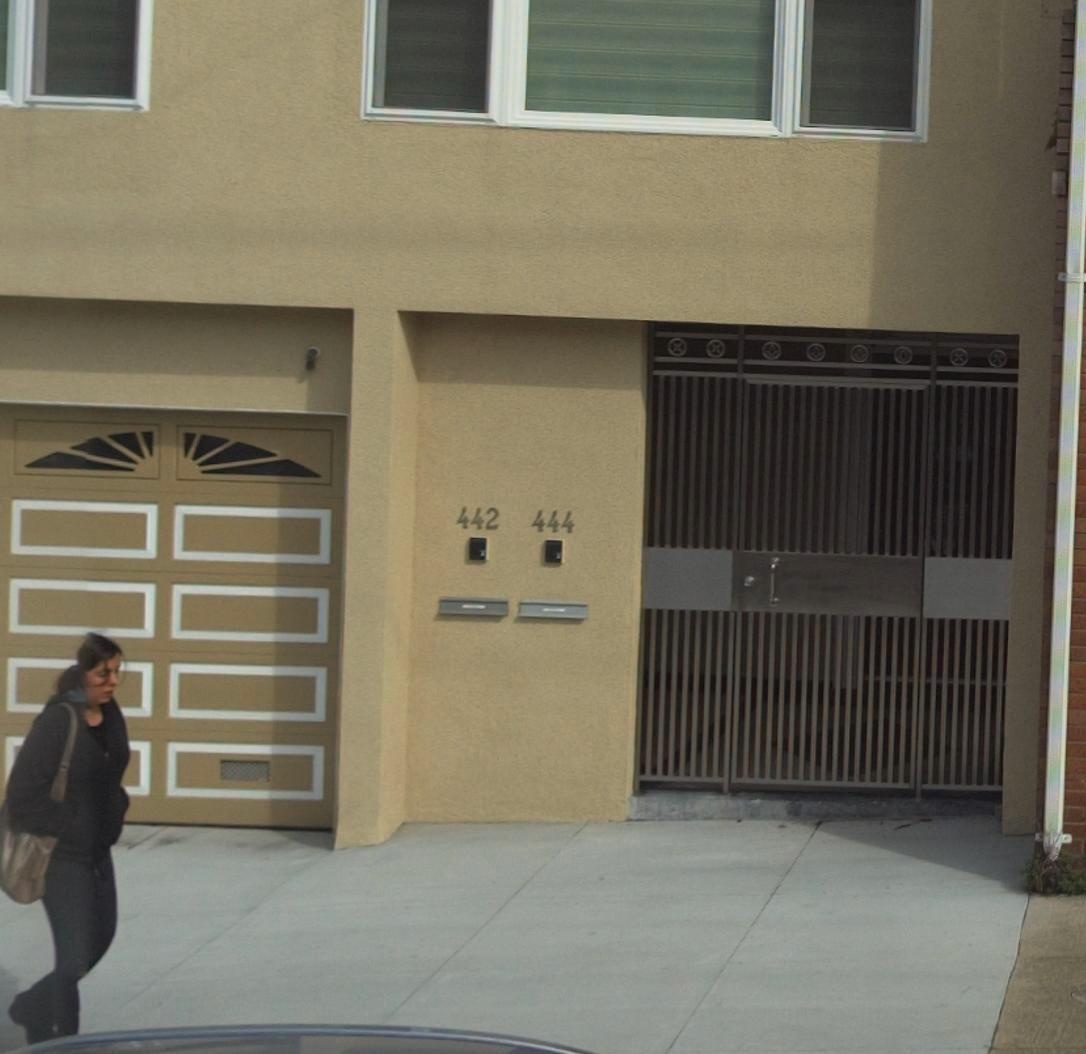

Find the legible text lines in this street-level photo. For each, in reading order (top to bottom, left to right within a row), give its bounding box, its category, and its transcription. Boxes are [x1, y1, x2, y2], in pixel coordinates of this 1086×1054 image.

[455, 505, 502, 532] StreetNumber: 442
[529, 508, 576, 535] StreetNumber: 444